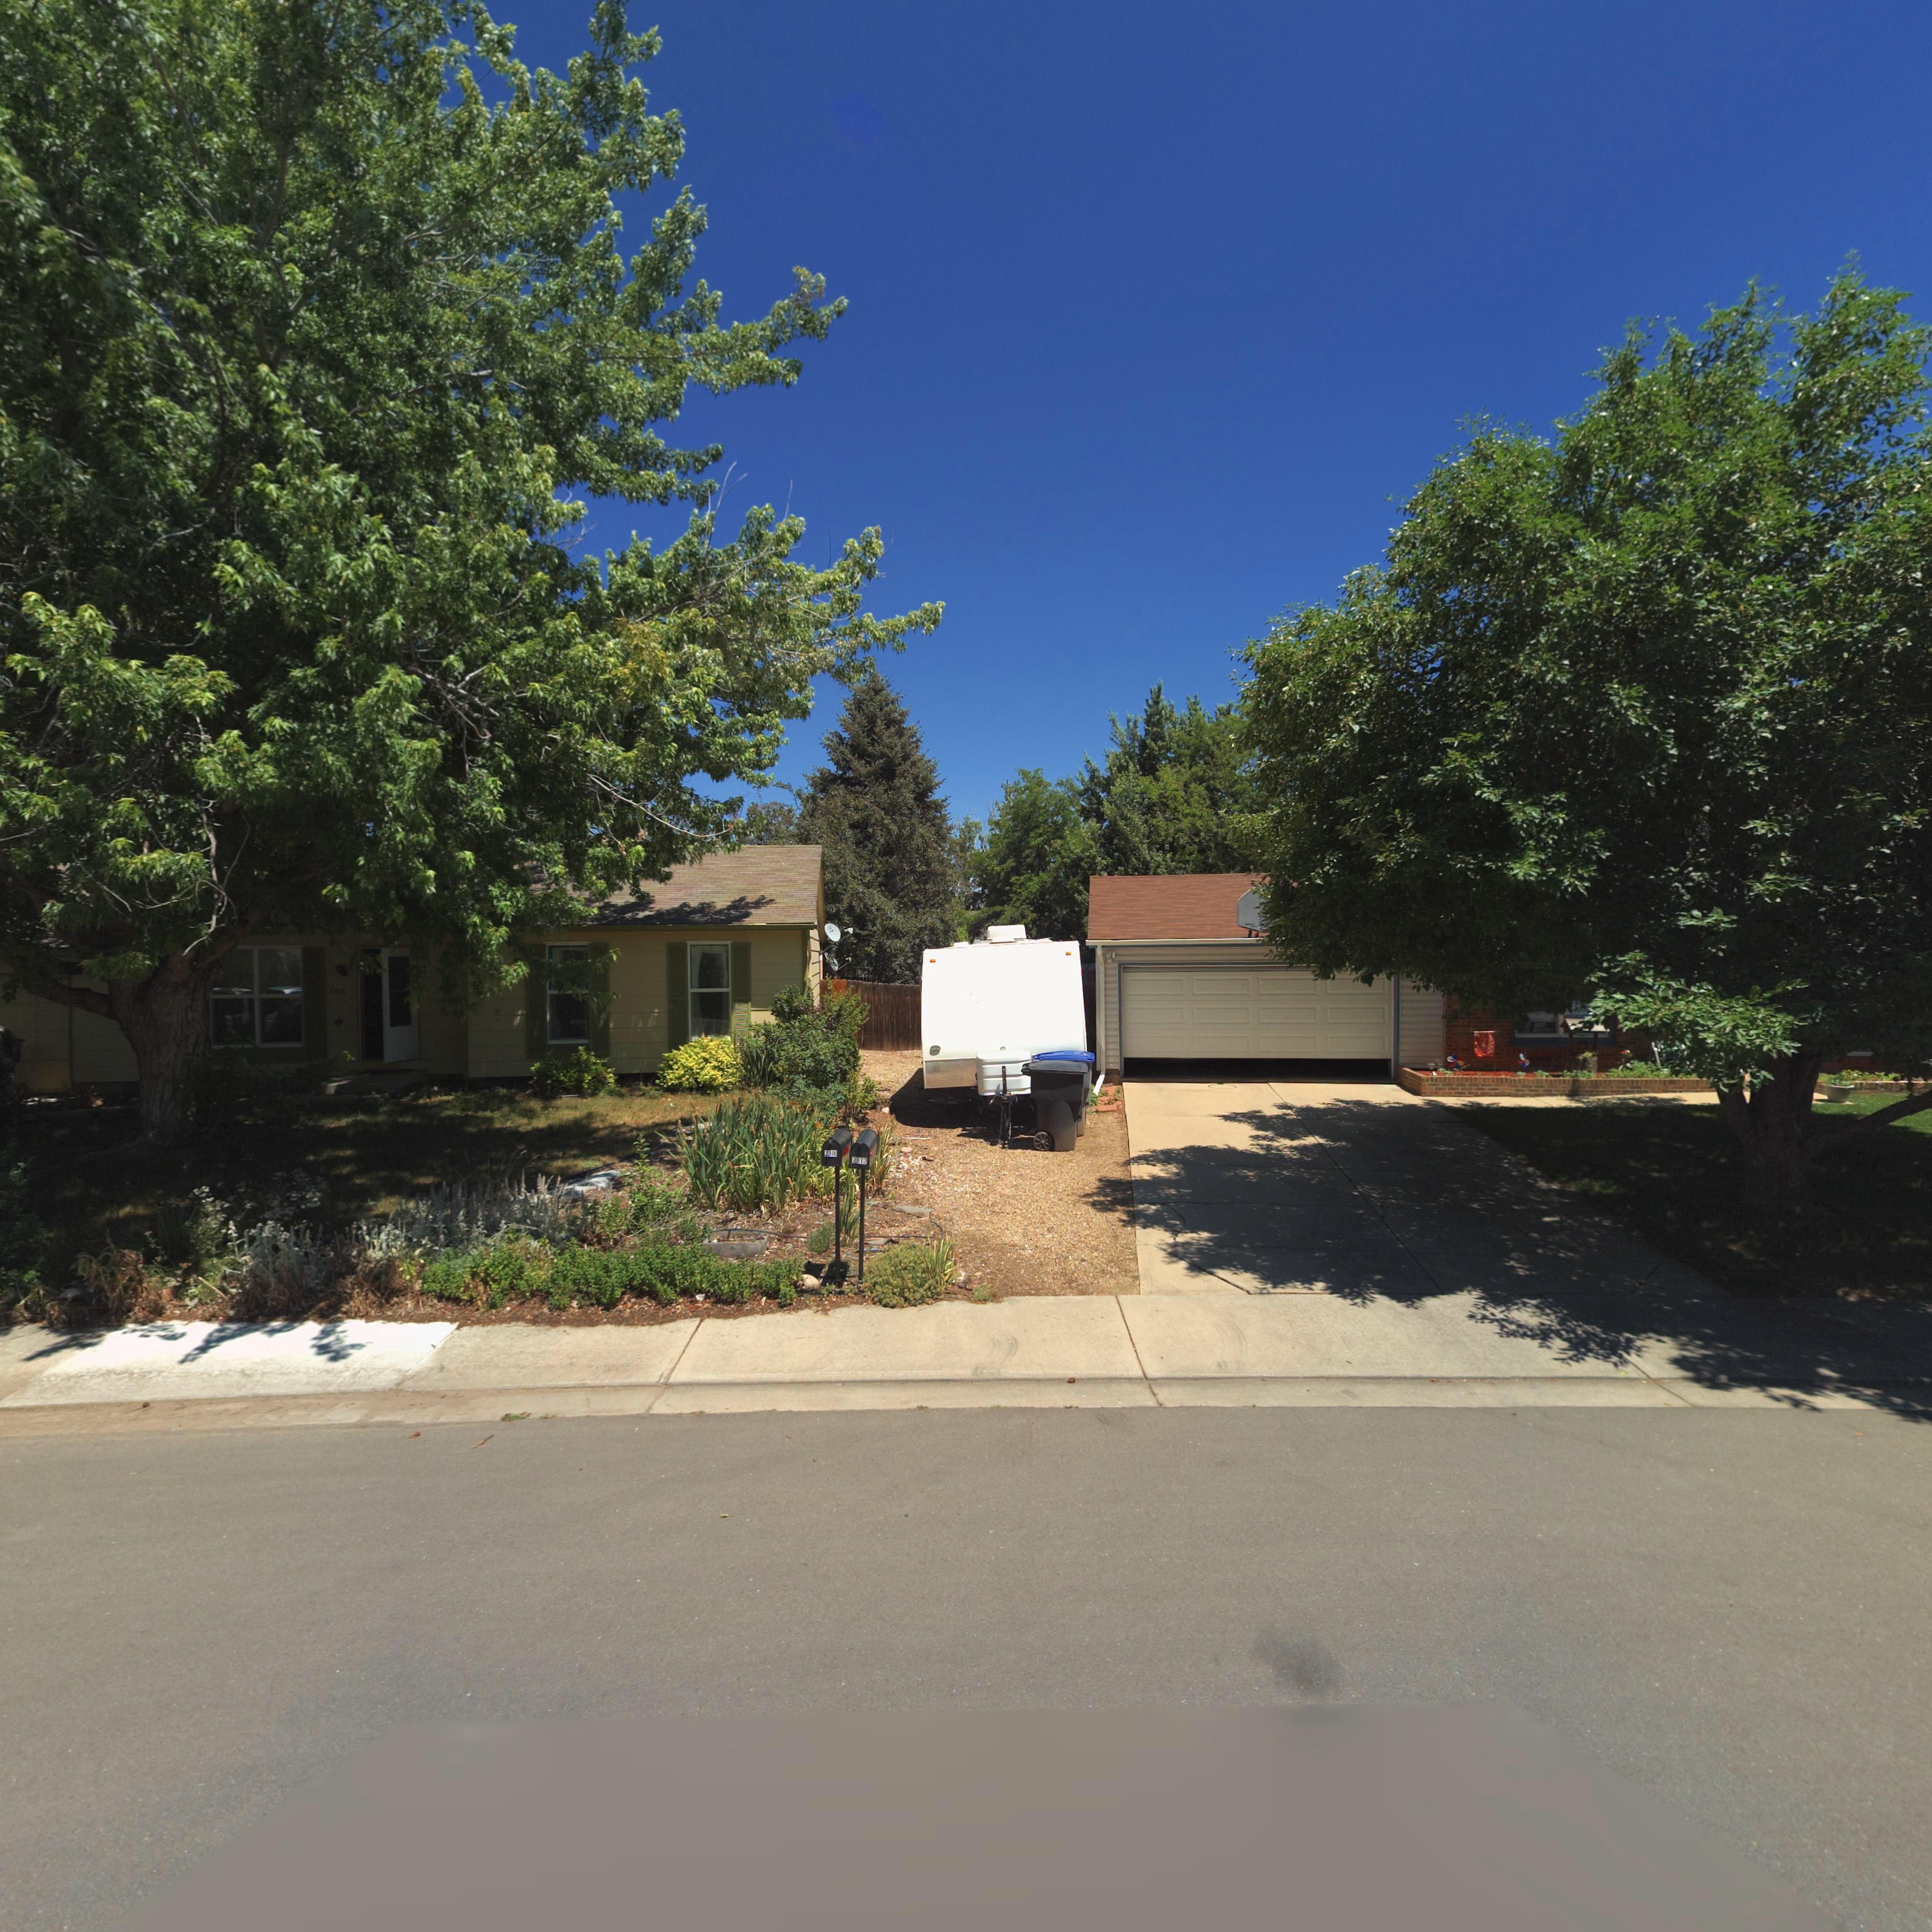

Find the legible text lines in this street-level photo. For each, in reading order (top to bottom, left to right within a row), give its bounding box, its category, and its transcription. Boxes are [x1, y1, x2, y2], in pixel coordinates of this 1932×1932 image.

[825, 1150, 836, 1156] StreetNumber: 2318
[852, 1157, 867, 1164] StreetNumber: 2312